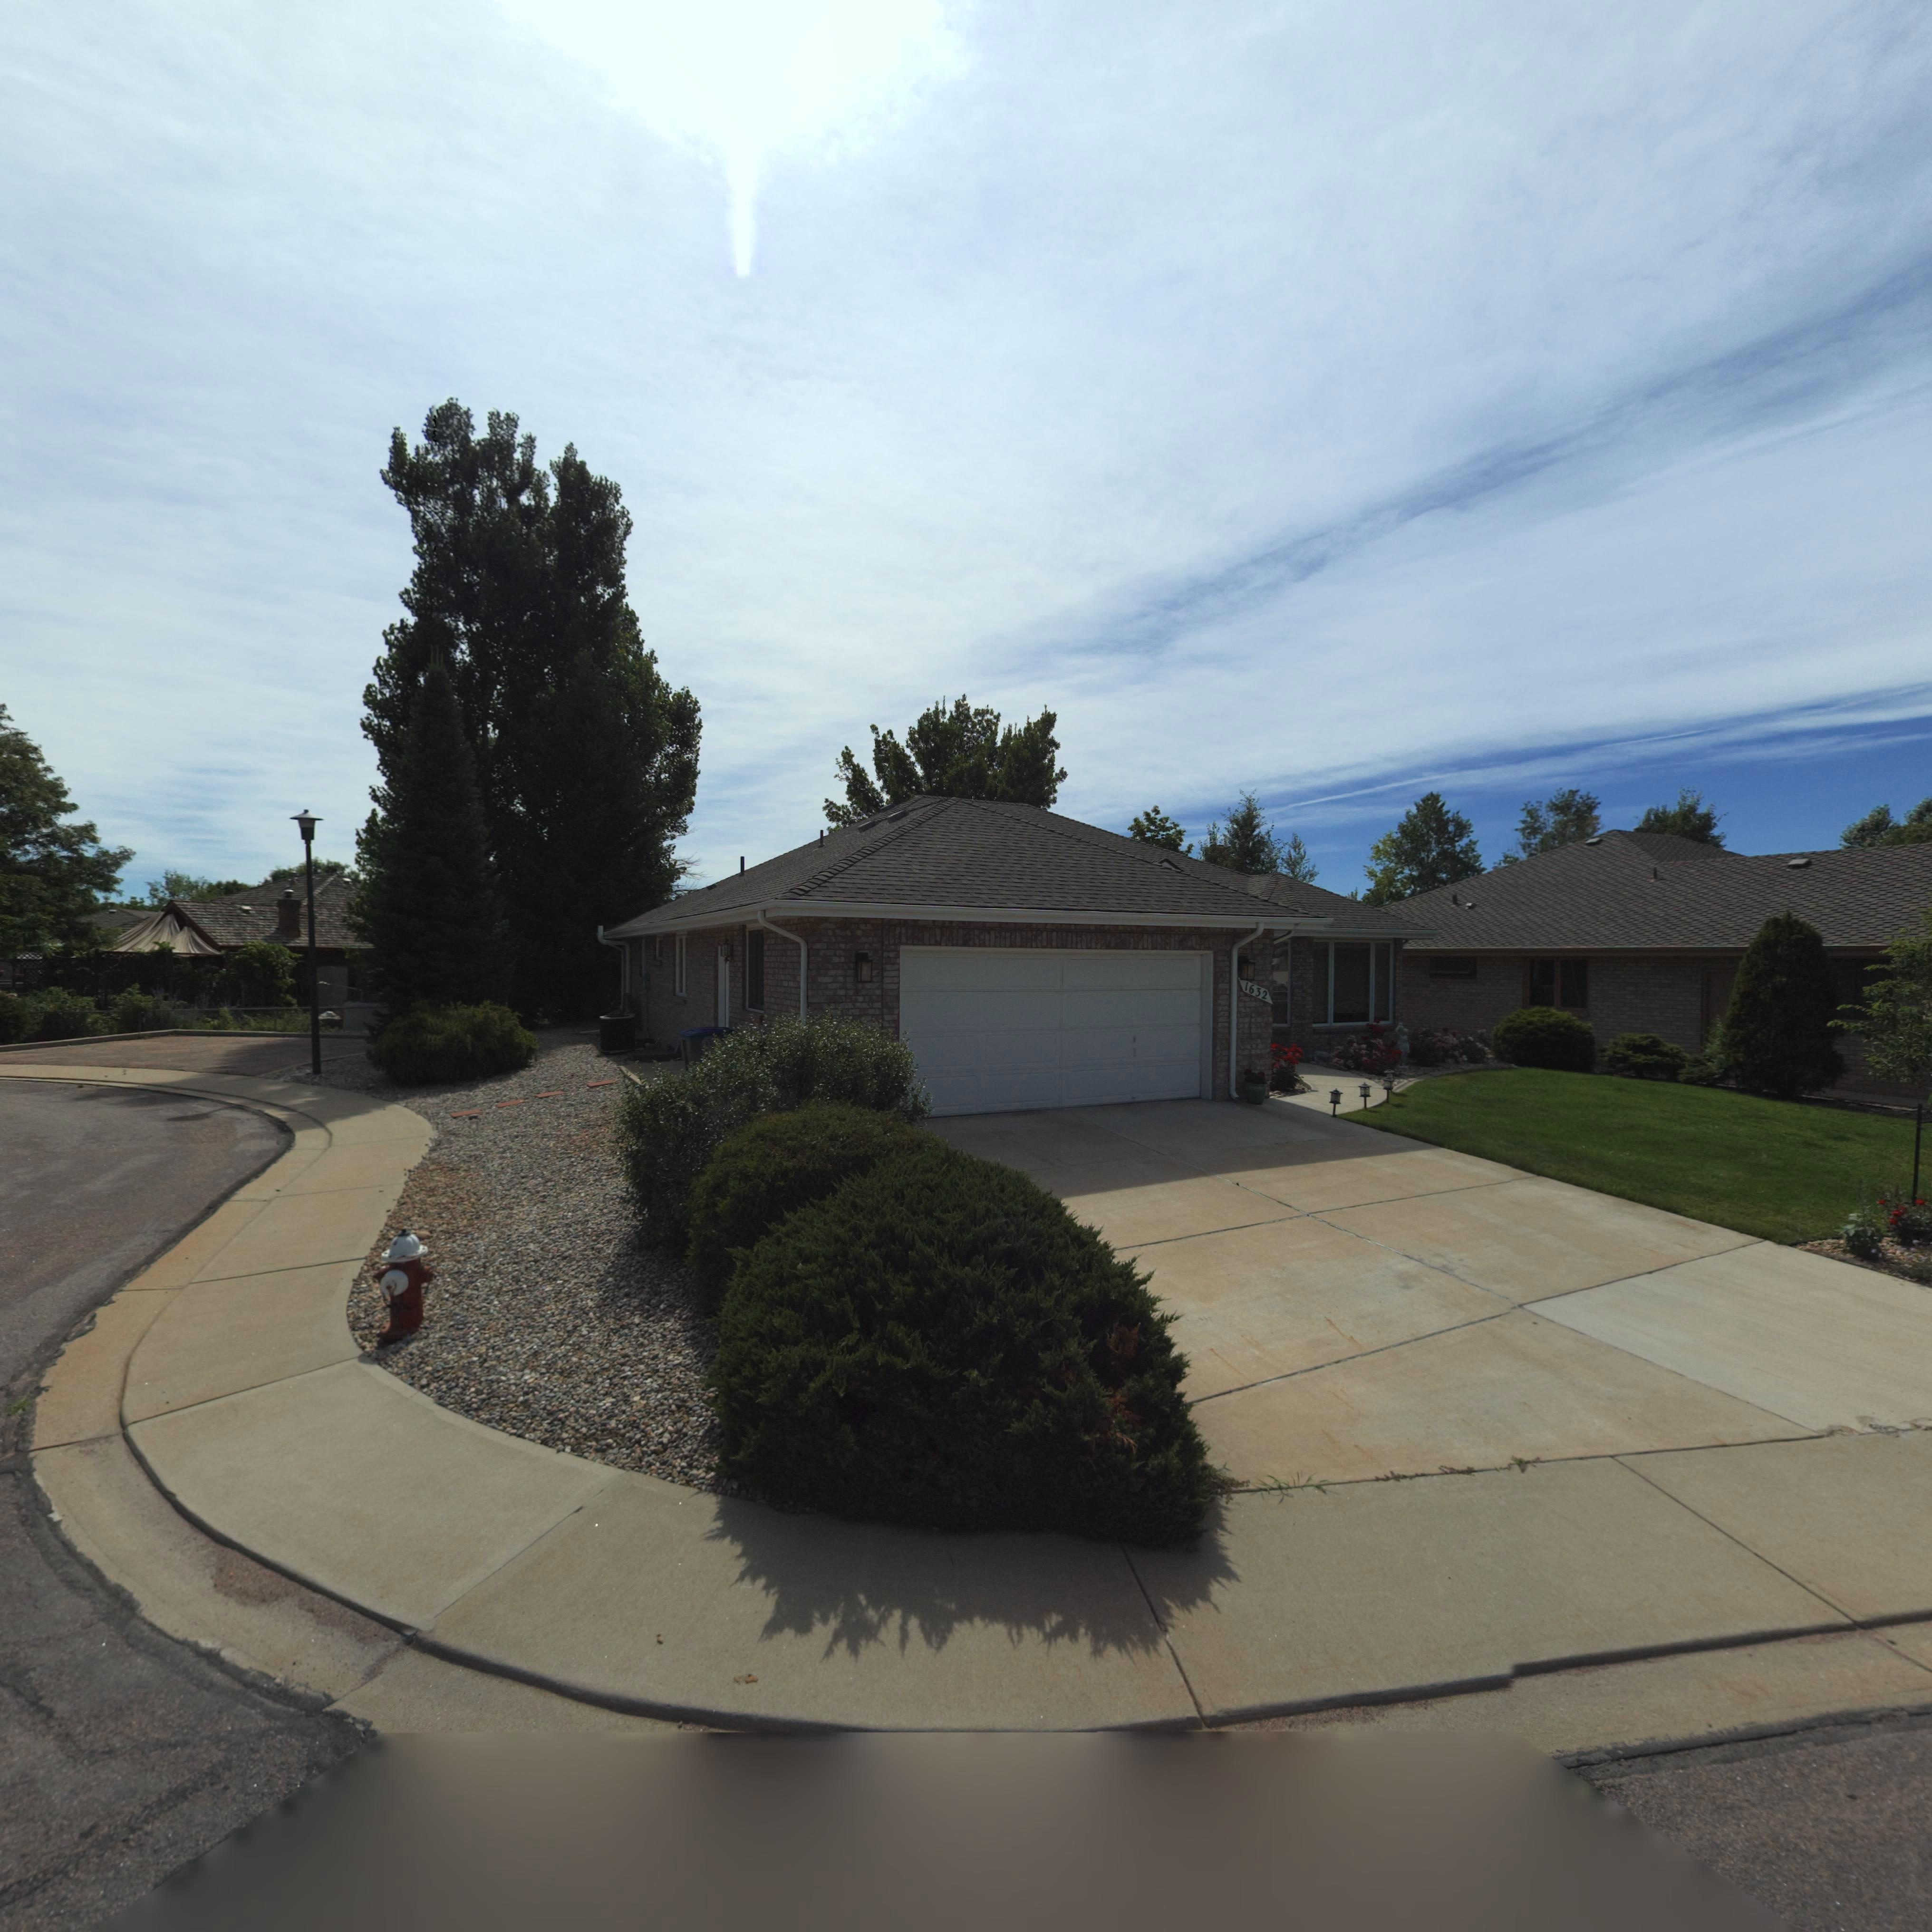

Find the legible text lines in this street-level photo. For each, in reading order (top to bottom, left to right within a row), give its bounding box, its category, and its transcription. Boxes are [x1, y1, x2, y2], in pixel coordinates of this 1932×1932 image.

[1244, 981, 1267, 999] StreetNumber: 1632